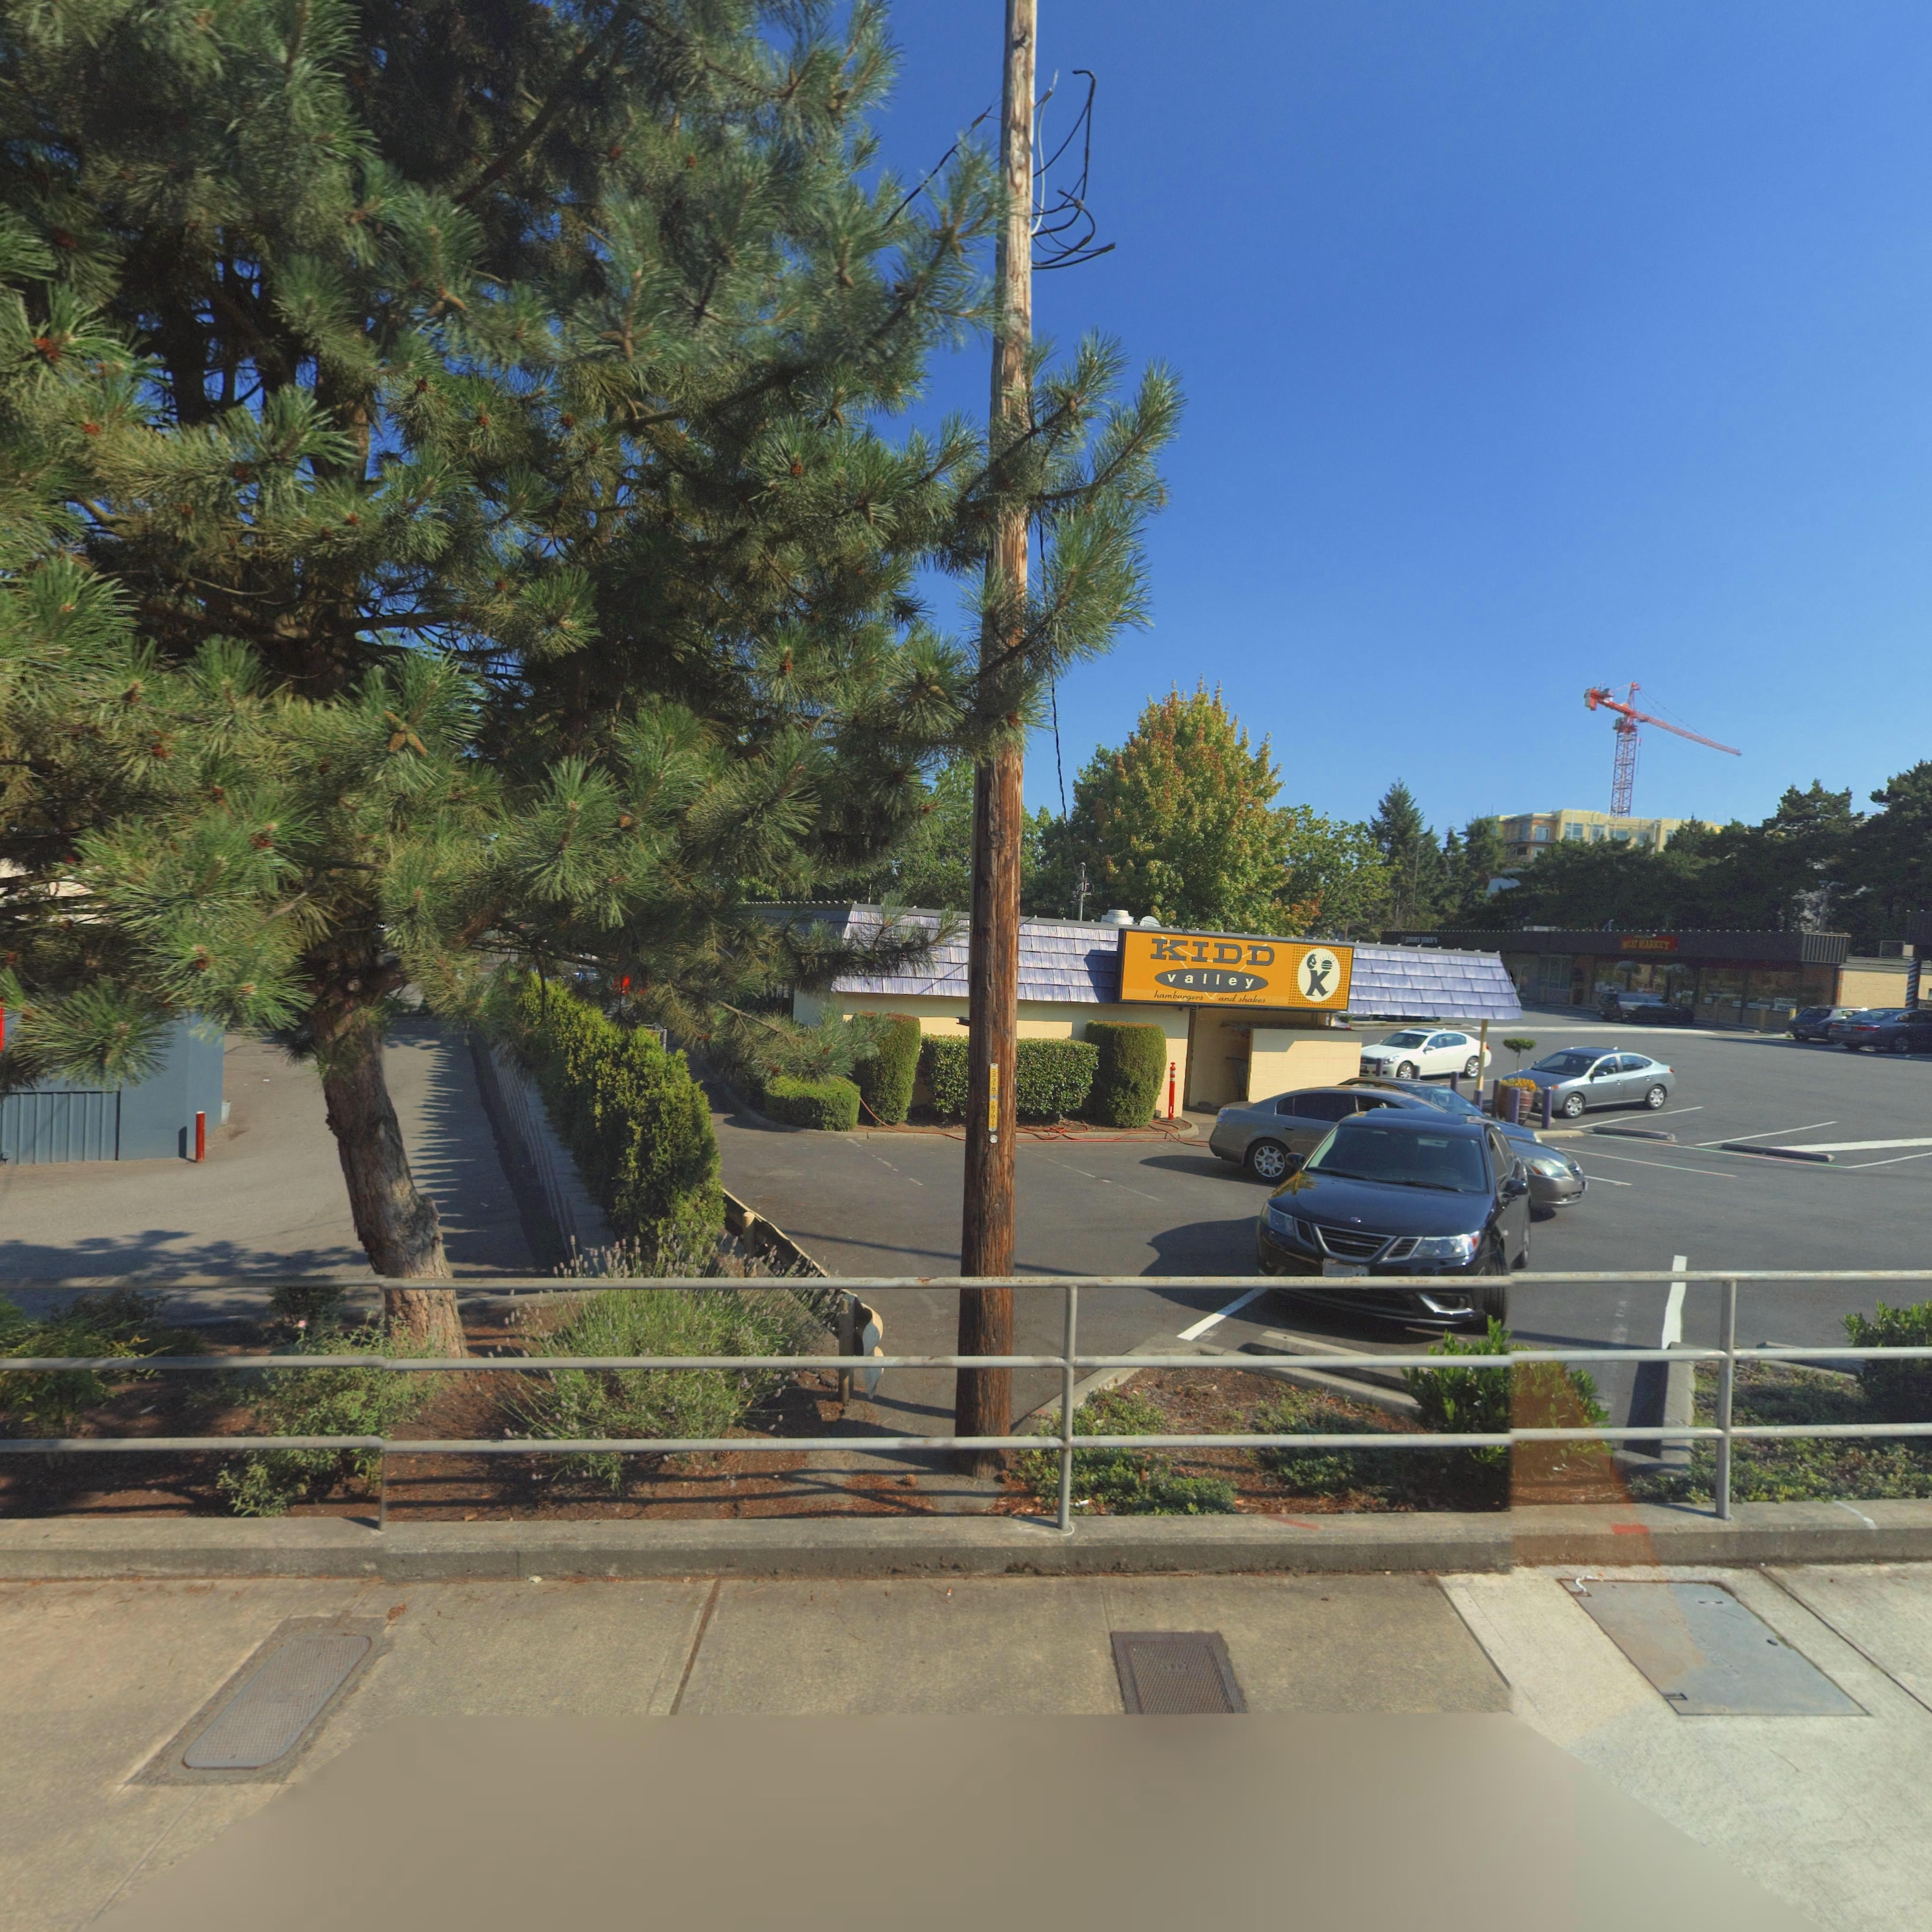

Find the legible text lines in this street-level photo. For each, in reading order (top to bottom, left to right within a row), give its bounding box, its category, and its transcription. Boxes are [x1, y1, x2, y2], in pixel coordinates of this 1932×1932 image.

[1149, 936, 1275, 967] BusinessName: KIDD
[1621, 938, 1638, 949] BusinessName: MEAT
[1638, 939, 1670, 949] BusinessName: MARKET
[1167, 973, 1253, 989] BusinessName: valley